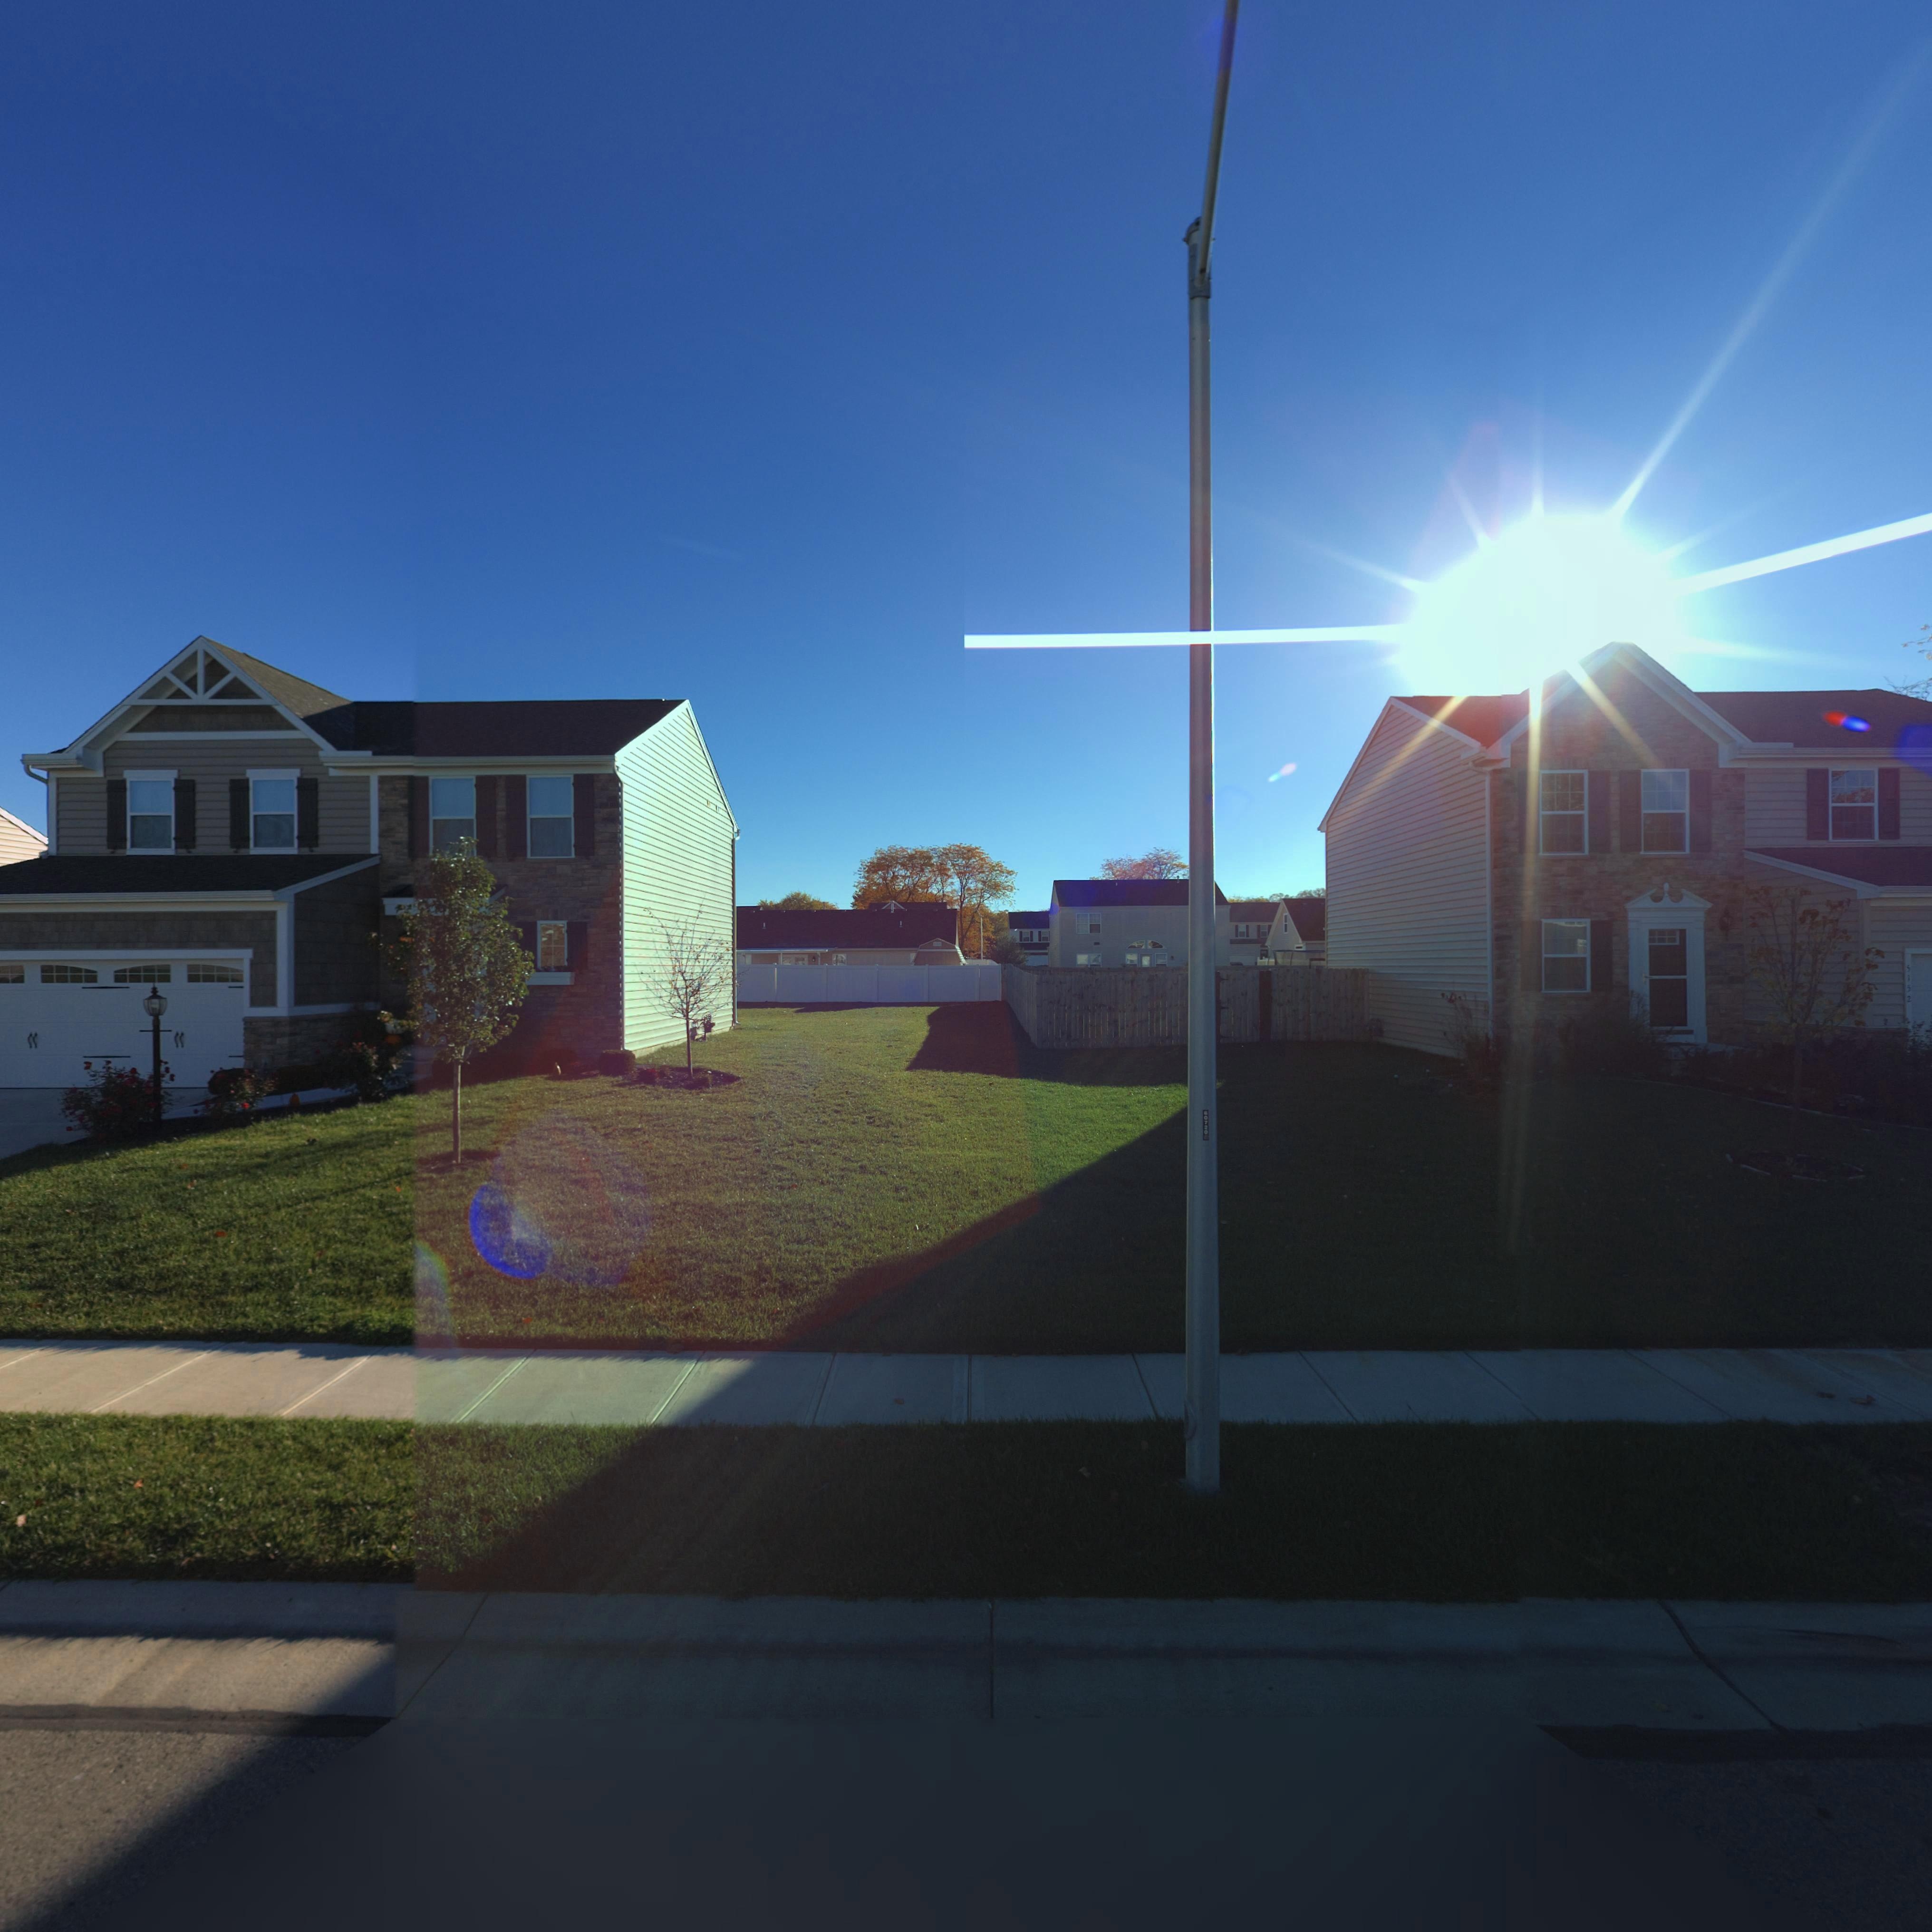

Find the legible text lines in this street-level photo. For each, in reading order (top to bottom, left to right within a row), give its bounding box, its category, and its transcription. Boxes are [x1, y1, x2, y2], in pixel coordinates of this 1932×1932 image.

[1905, 964, 1913, 1003] StreetNumber: 5152